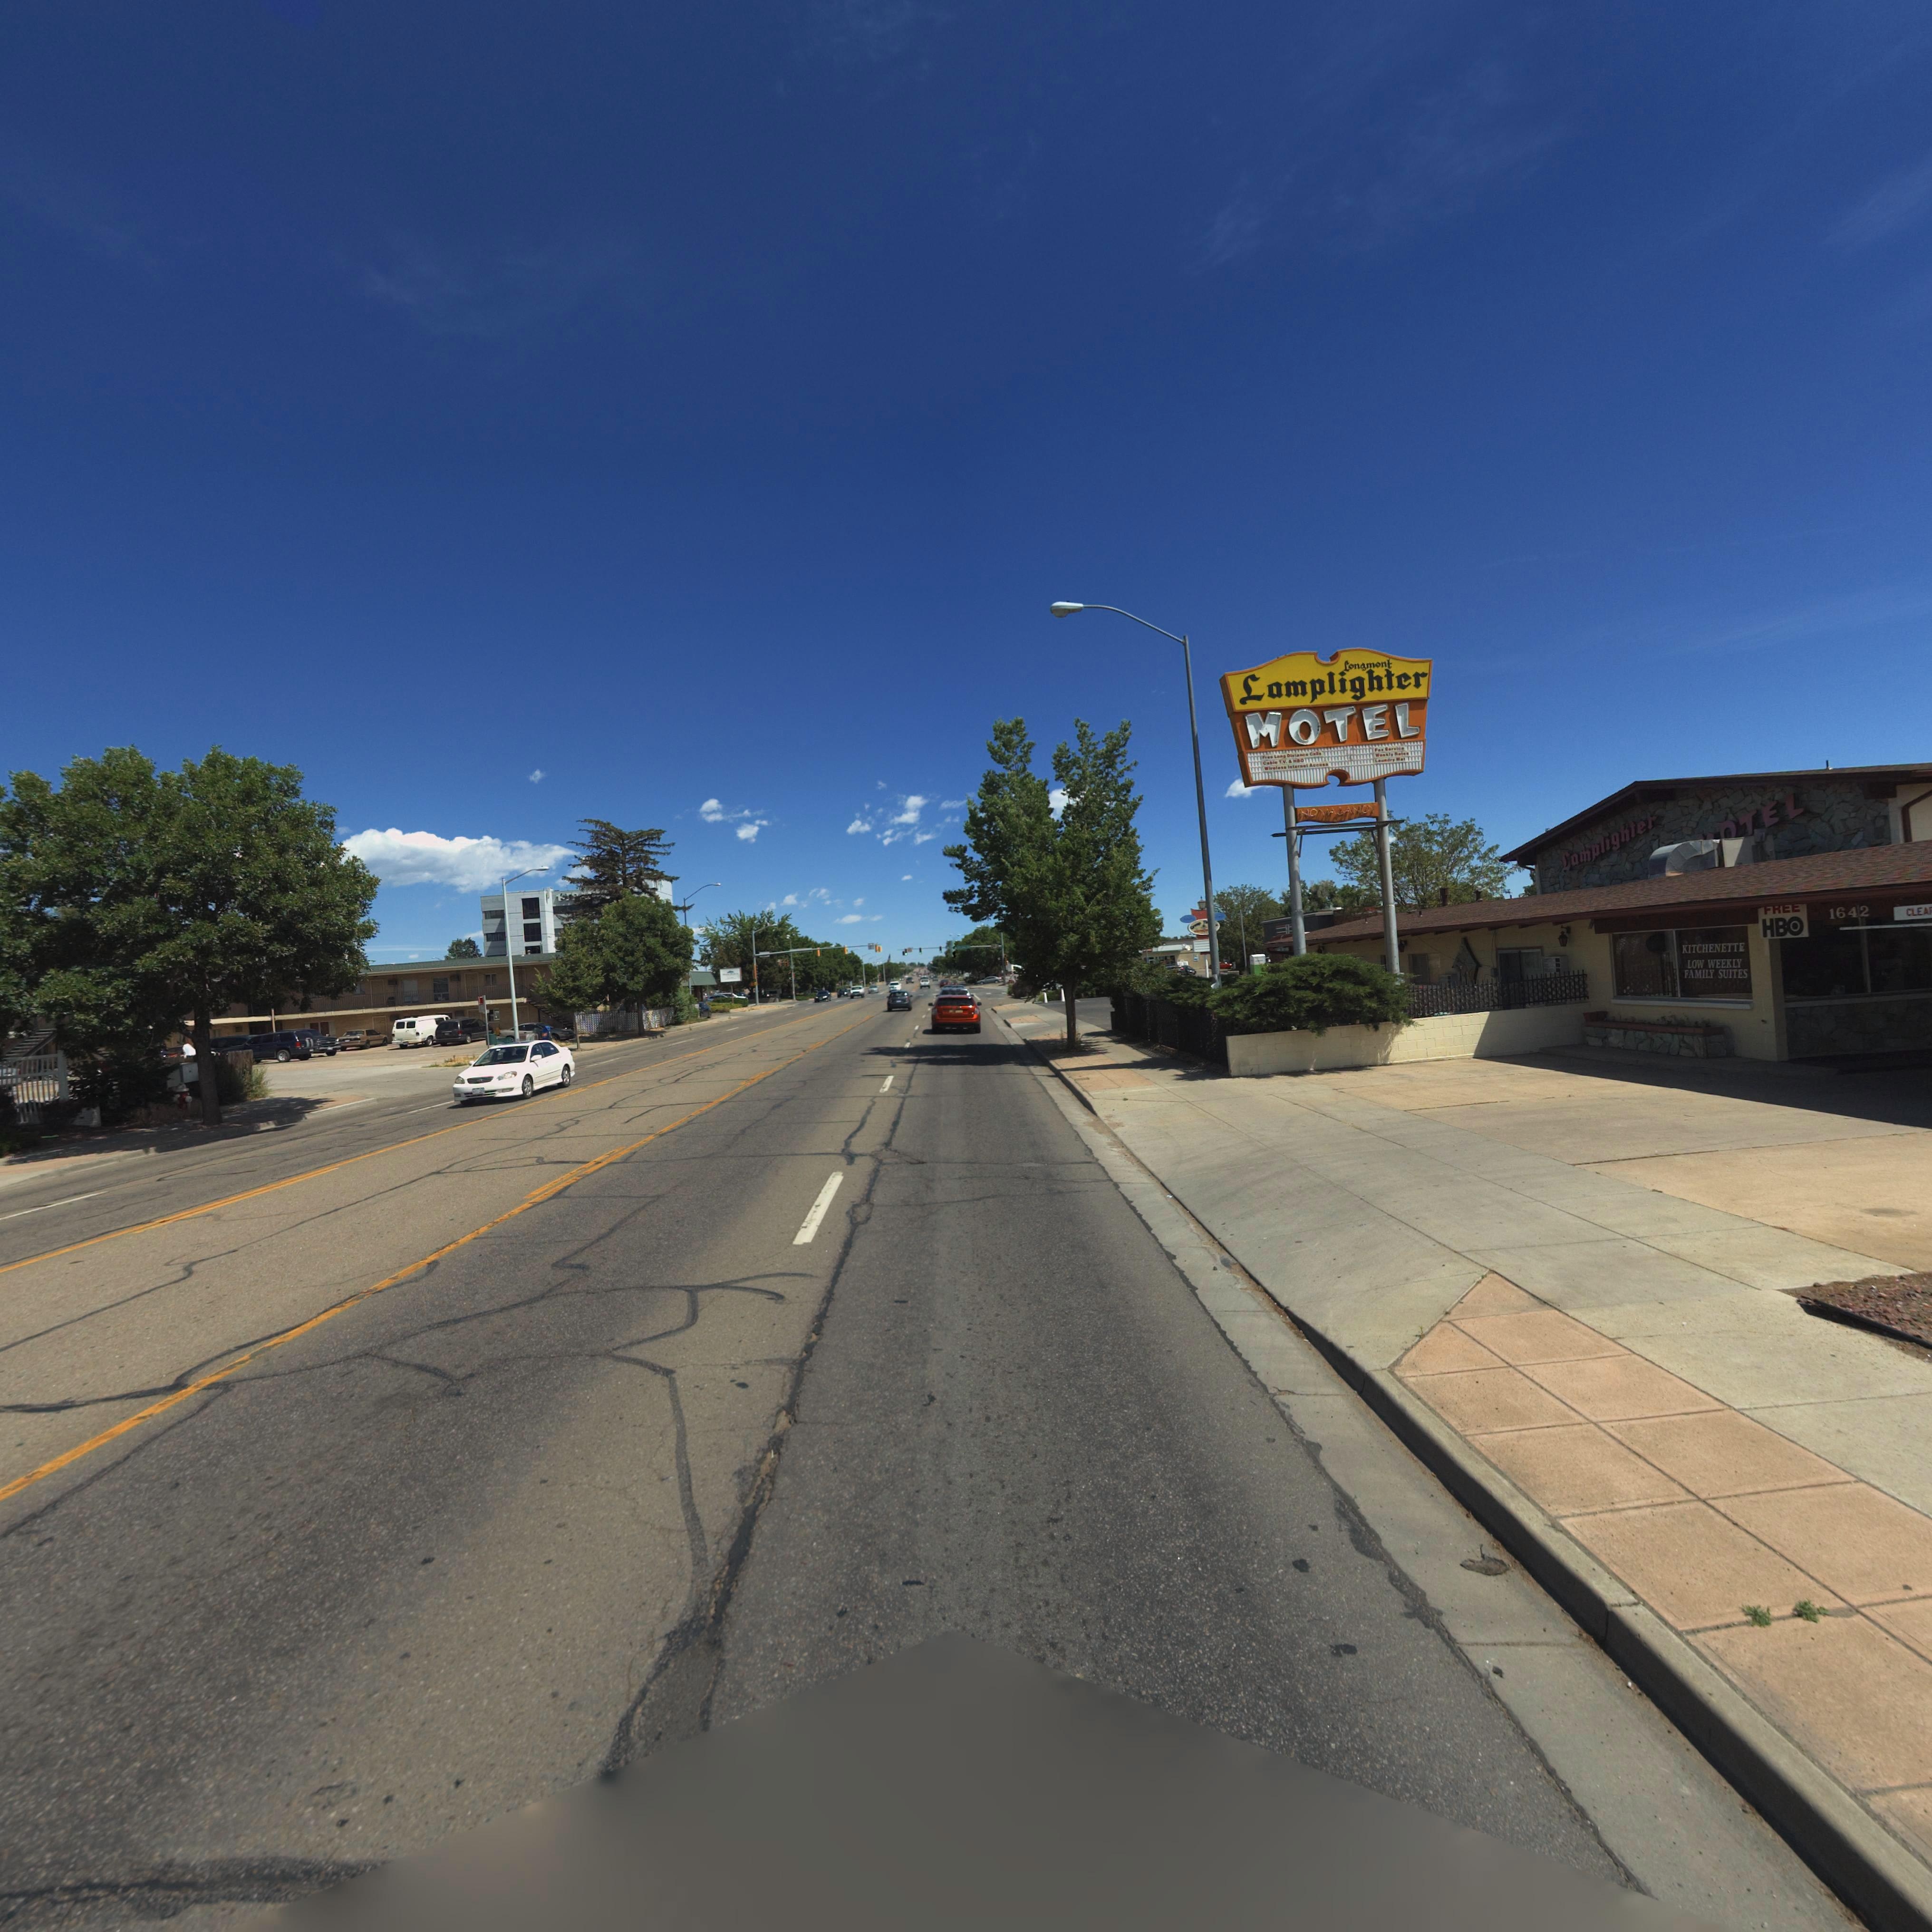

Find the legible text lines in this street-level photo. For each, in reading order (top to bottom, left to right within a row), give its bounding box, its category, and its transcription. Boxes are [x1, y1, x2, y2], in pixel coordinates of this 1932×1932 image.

[1238, 667, 1429, 705] BusinessName: Lamplighter
[1244, 701, 1421, 750] BusinessName: MOTEL
[1695, 791, 1806, 840] BusinessName: *OTEL
[1561, 815, 1658, 873] BusinessName: Lamplighter
[555, 891, 580, 902] BusinessName: 1S**
[1828, 905, 1870, 919] StreetNumber: 1642